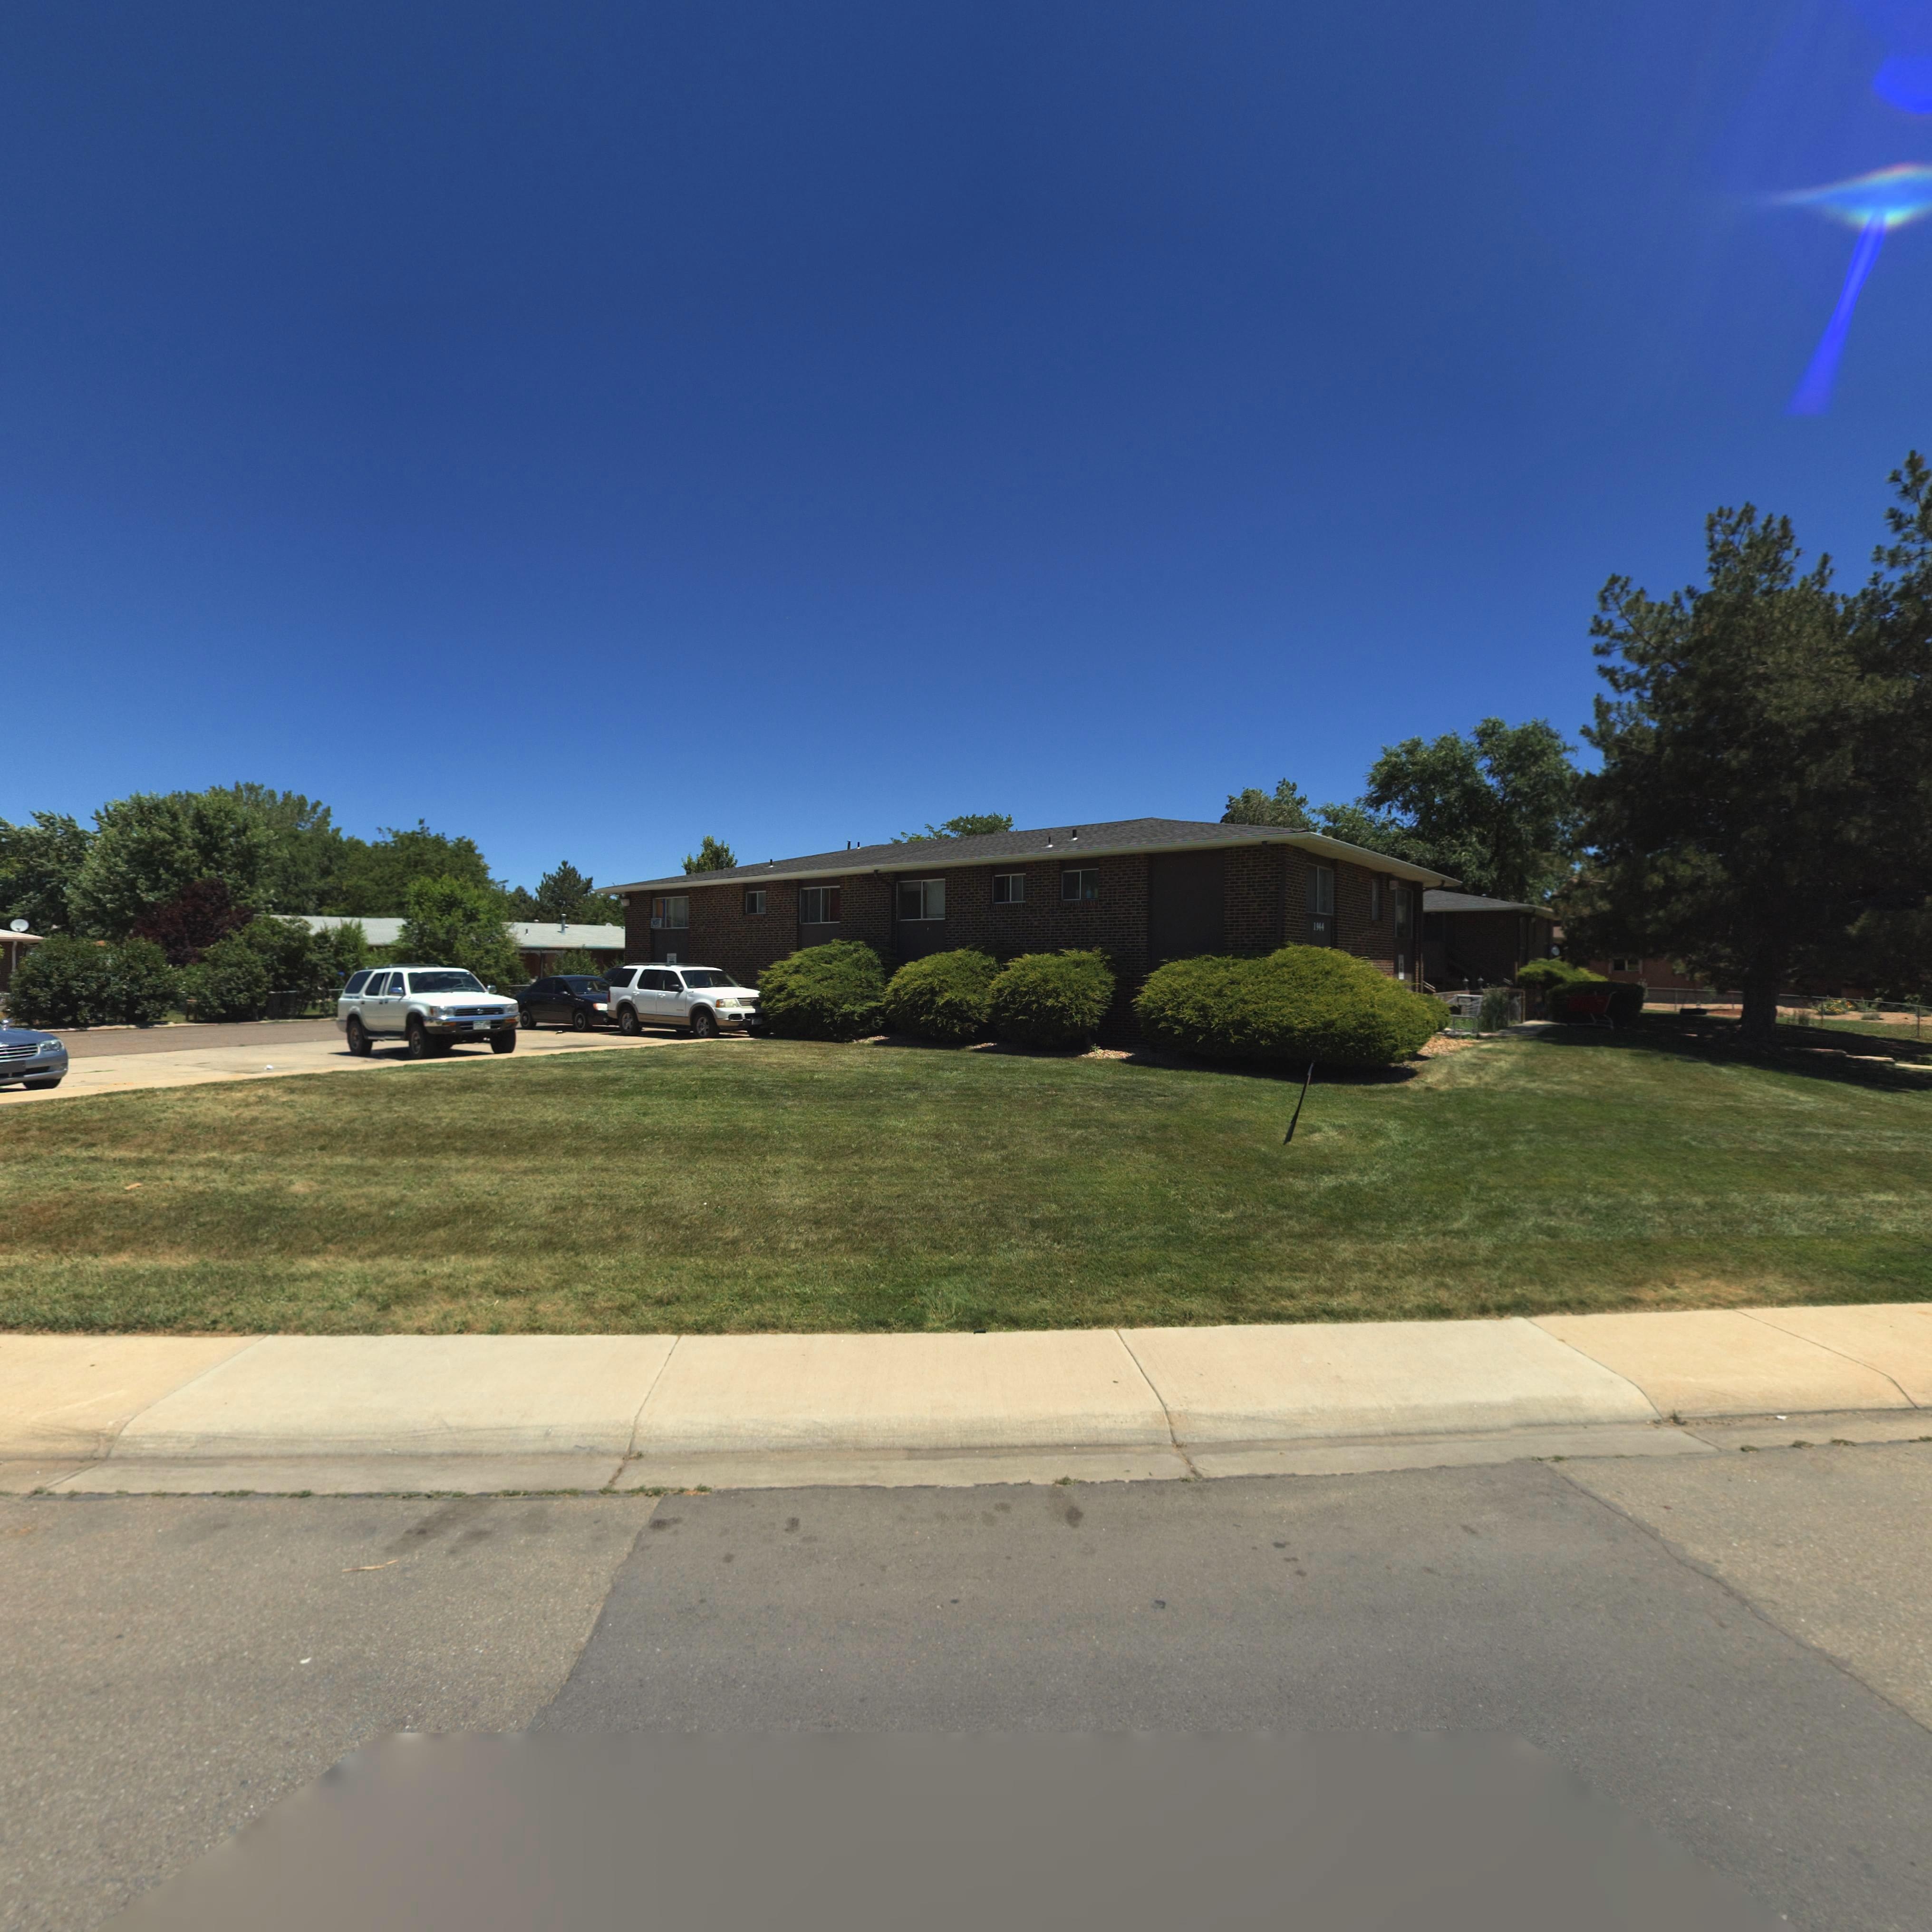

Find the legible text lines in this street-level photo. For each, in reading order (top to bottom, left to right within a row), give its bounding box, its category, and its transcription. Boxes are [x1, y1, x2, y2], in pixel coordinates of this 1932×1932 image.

[1314, 922, 1324, 931] StreetNumber: 1944